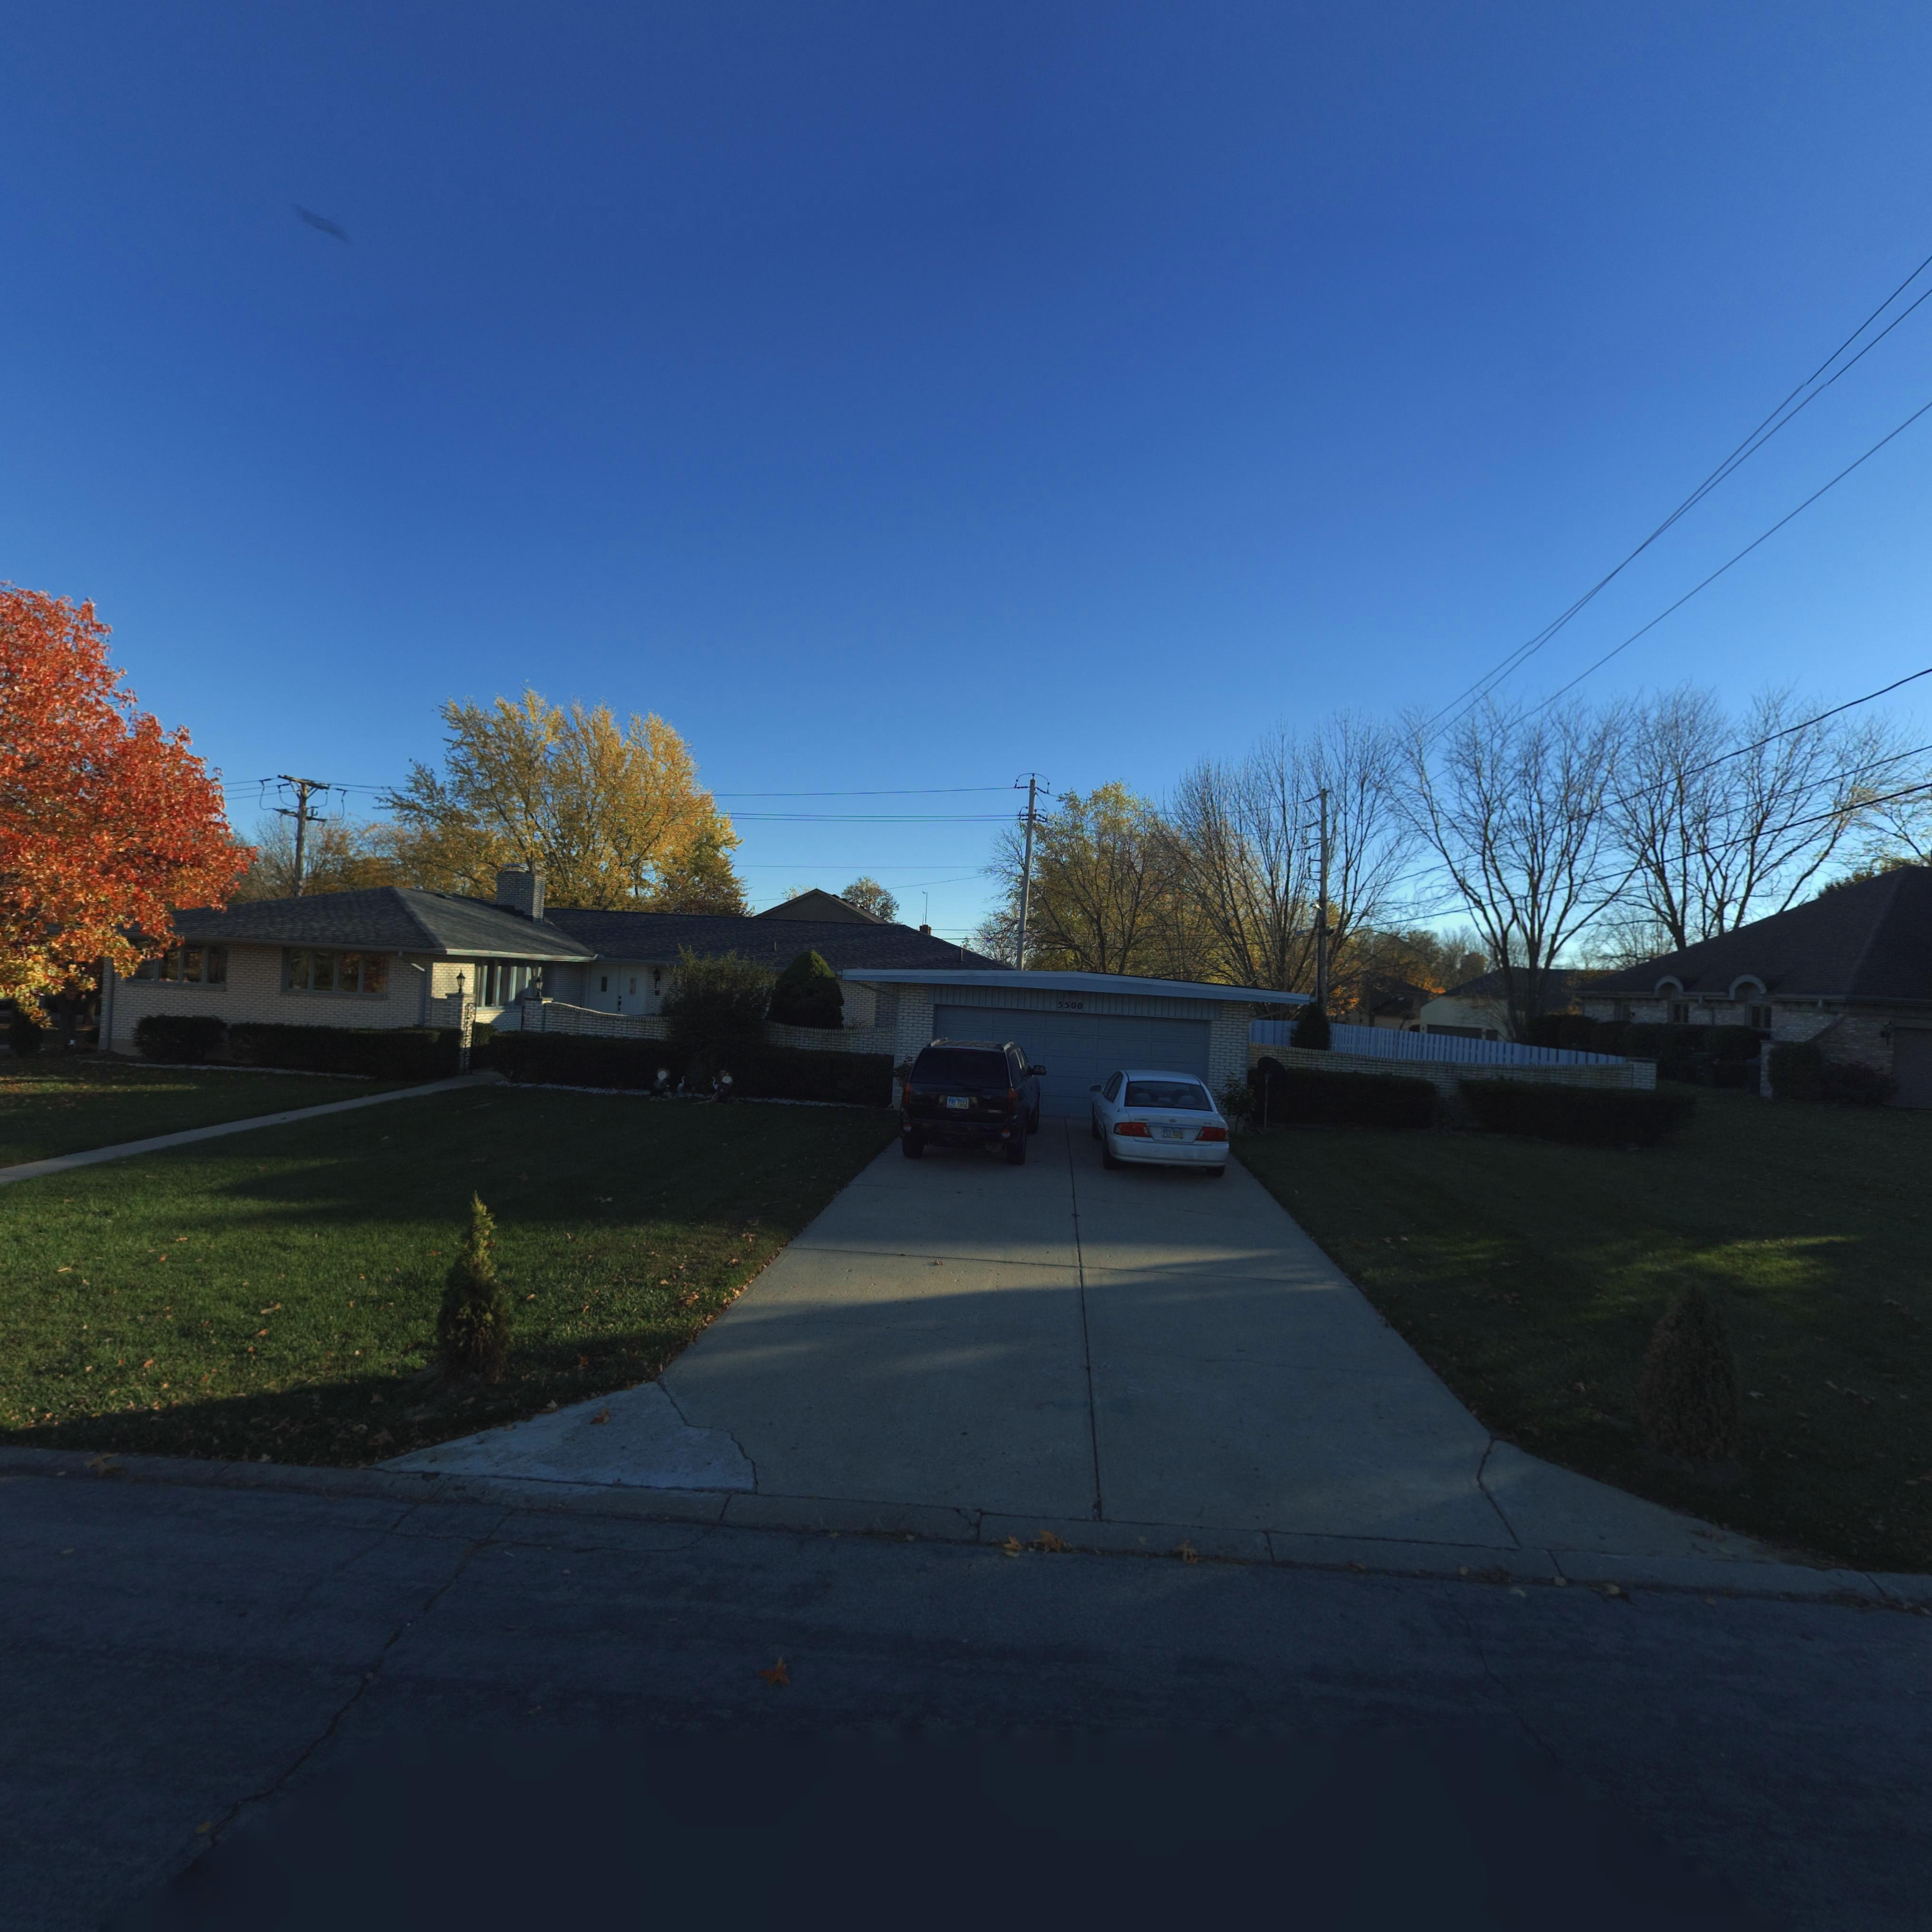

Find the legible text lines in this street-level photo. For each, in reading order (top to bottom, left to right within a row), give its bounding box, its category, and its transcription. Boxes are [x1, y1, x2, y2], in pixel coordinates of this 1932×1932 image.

[1057, 1000, 1083, 1010] StreetNumber: 5500